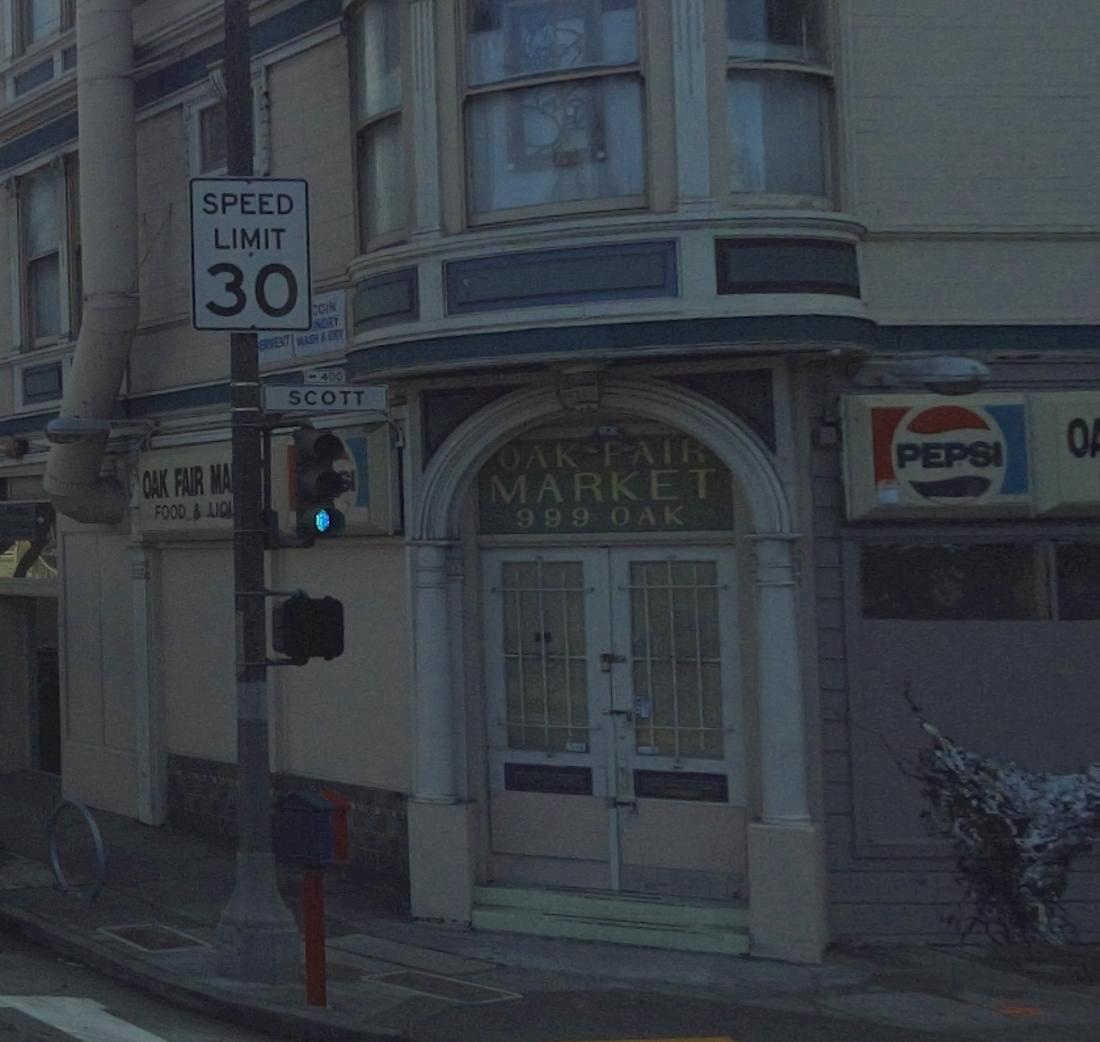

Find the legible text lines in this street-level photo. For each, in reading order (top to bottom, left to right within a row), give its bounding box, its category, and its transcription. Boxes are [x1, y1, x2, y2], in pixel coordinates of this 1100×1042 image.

[198, 189, 296, 218] None: SPEED
[211, 224, 290, 253] None: LIMIT
[199, 258, 304, 322] None: 30
[316, 297, 339, 318] None: OIN
[306, 369, 345, 384] StreetNumberRange: <-400
[287, 388, 367, 408] StreetName: SCOTT
[1062, 413, 1094, 463] None: O
[496, 433, 711, 474] BusinessName: OAK-FAIR
[894, 437, 1007, 472] None: PEPSI
[138, 458, 235, 503] BusinessName: OAK FAIR MA
[487, 464, 723, 509] BusinessName: MARKET
[152, 498, 222, 523] None: FOOD & LI
[515, 504, 591, 531] StreetNumber: 999
[608, 502, 687, 529] StreetName: OAK